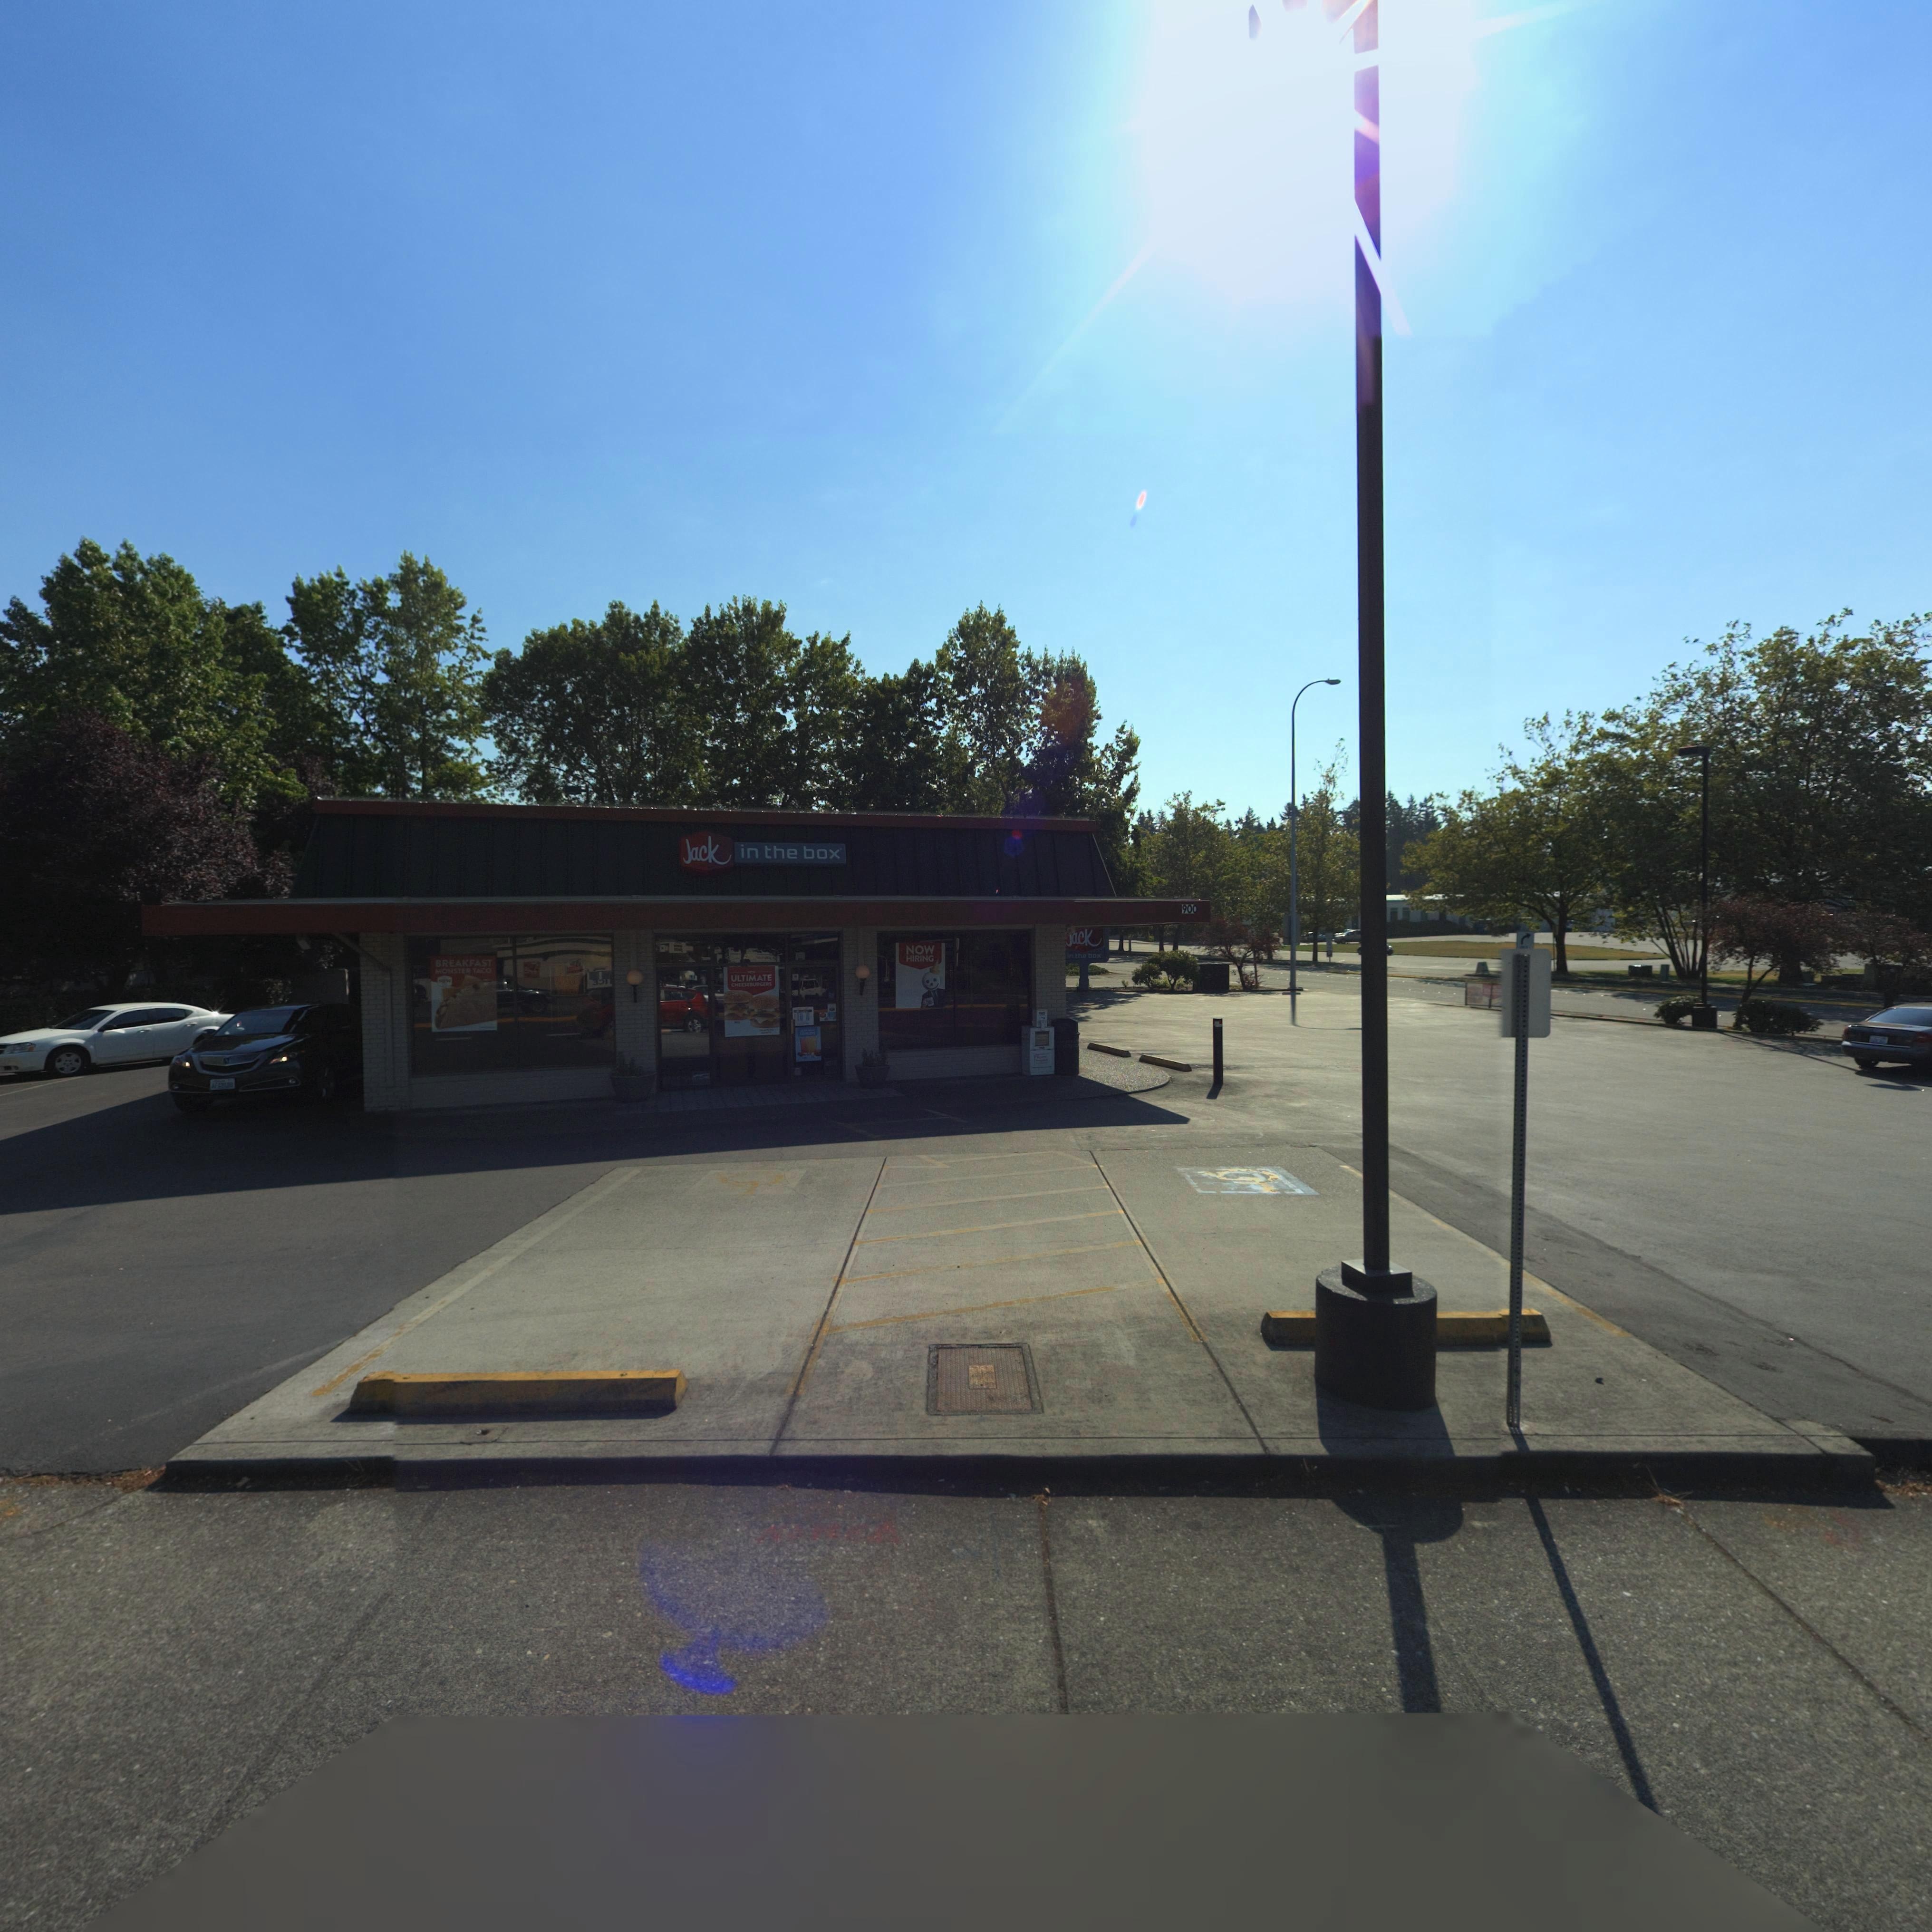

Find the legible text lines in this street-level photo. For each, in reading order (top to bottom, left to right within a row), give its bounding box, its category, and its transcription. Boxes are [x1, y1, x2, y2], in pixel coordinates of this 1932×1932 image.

[682, 835, 733, 866] BusinessName: Jack
[740, 843, 840, 859] BusinessName: in the box
[1179, 904, 1198, 914] StreetNumber: 1900
[1065, 927, 1102, 947] BusinessName: jack
[1067, 952, 1101, 959] BusinessName: in the box